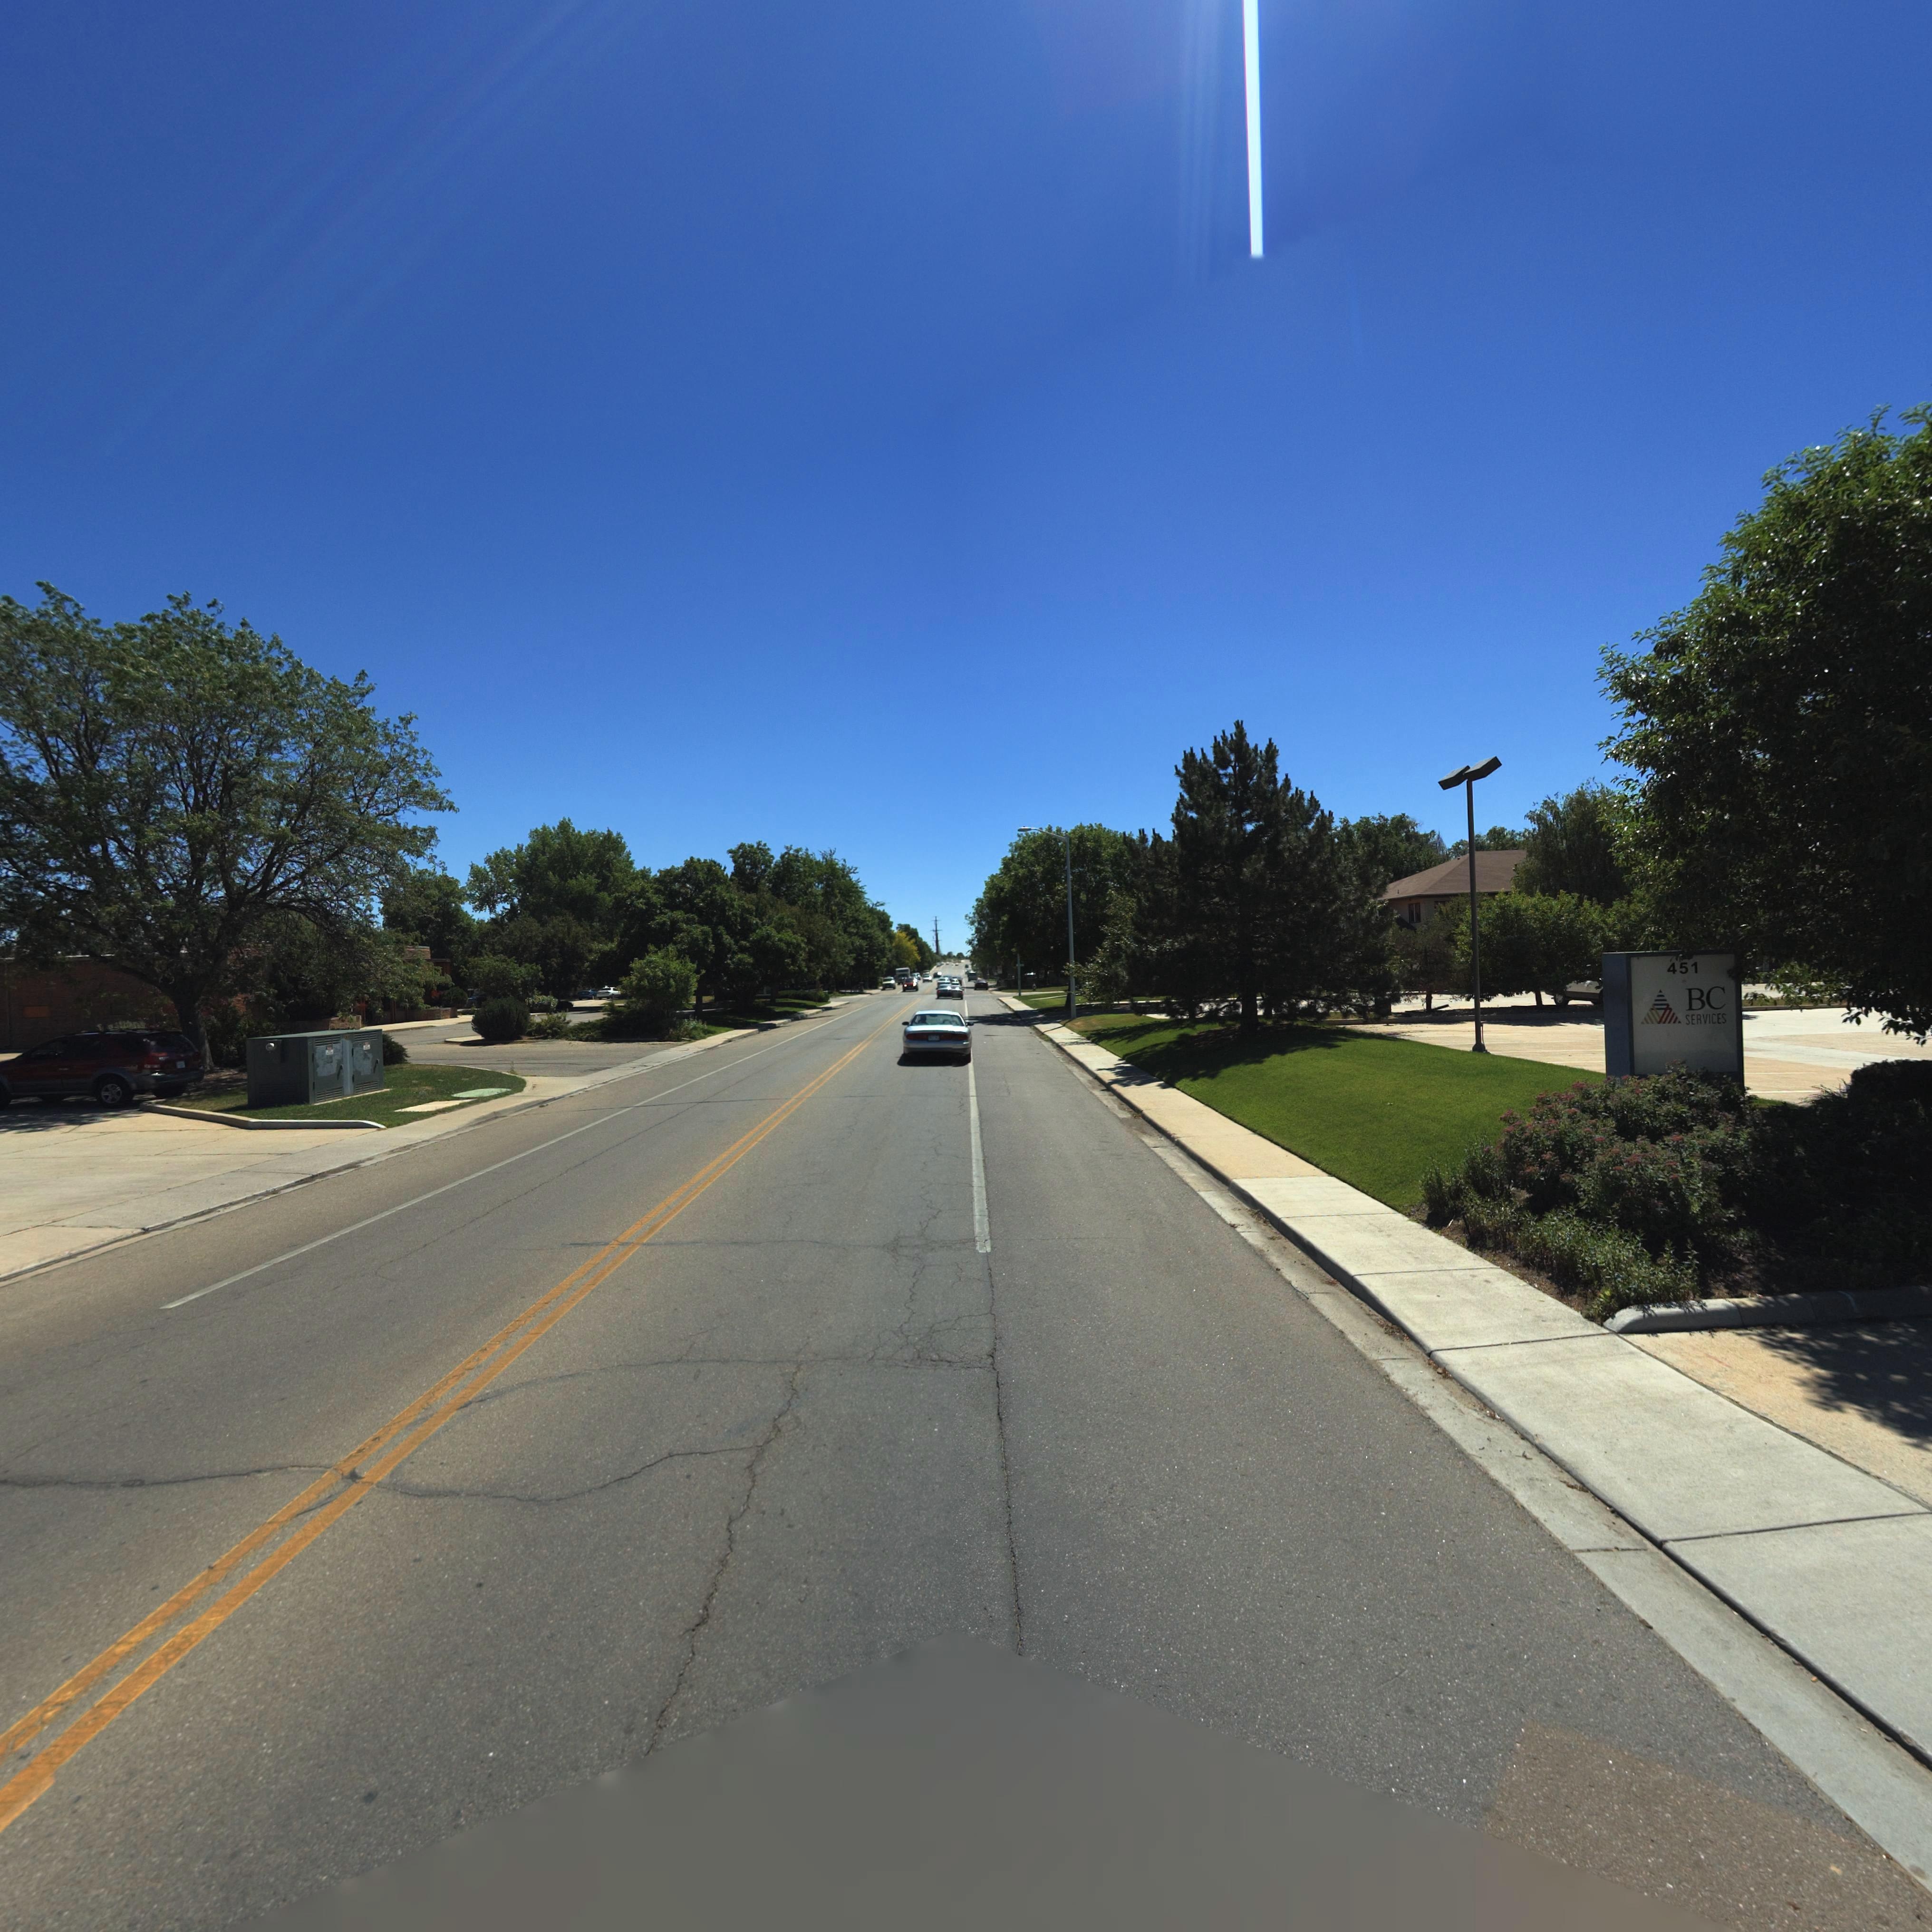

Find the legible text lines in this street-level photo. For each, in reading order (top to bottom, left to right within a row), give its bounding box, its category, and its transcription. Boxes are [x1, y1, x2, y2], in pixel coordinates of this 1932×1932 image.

[1667, 961, 1698, 975] StreetNumber: 451